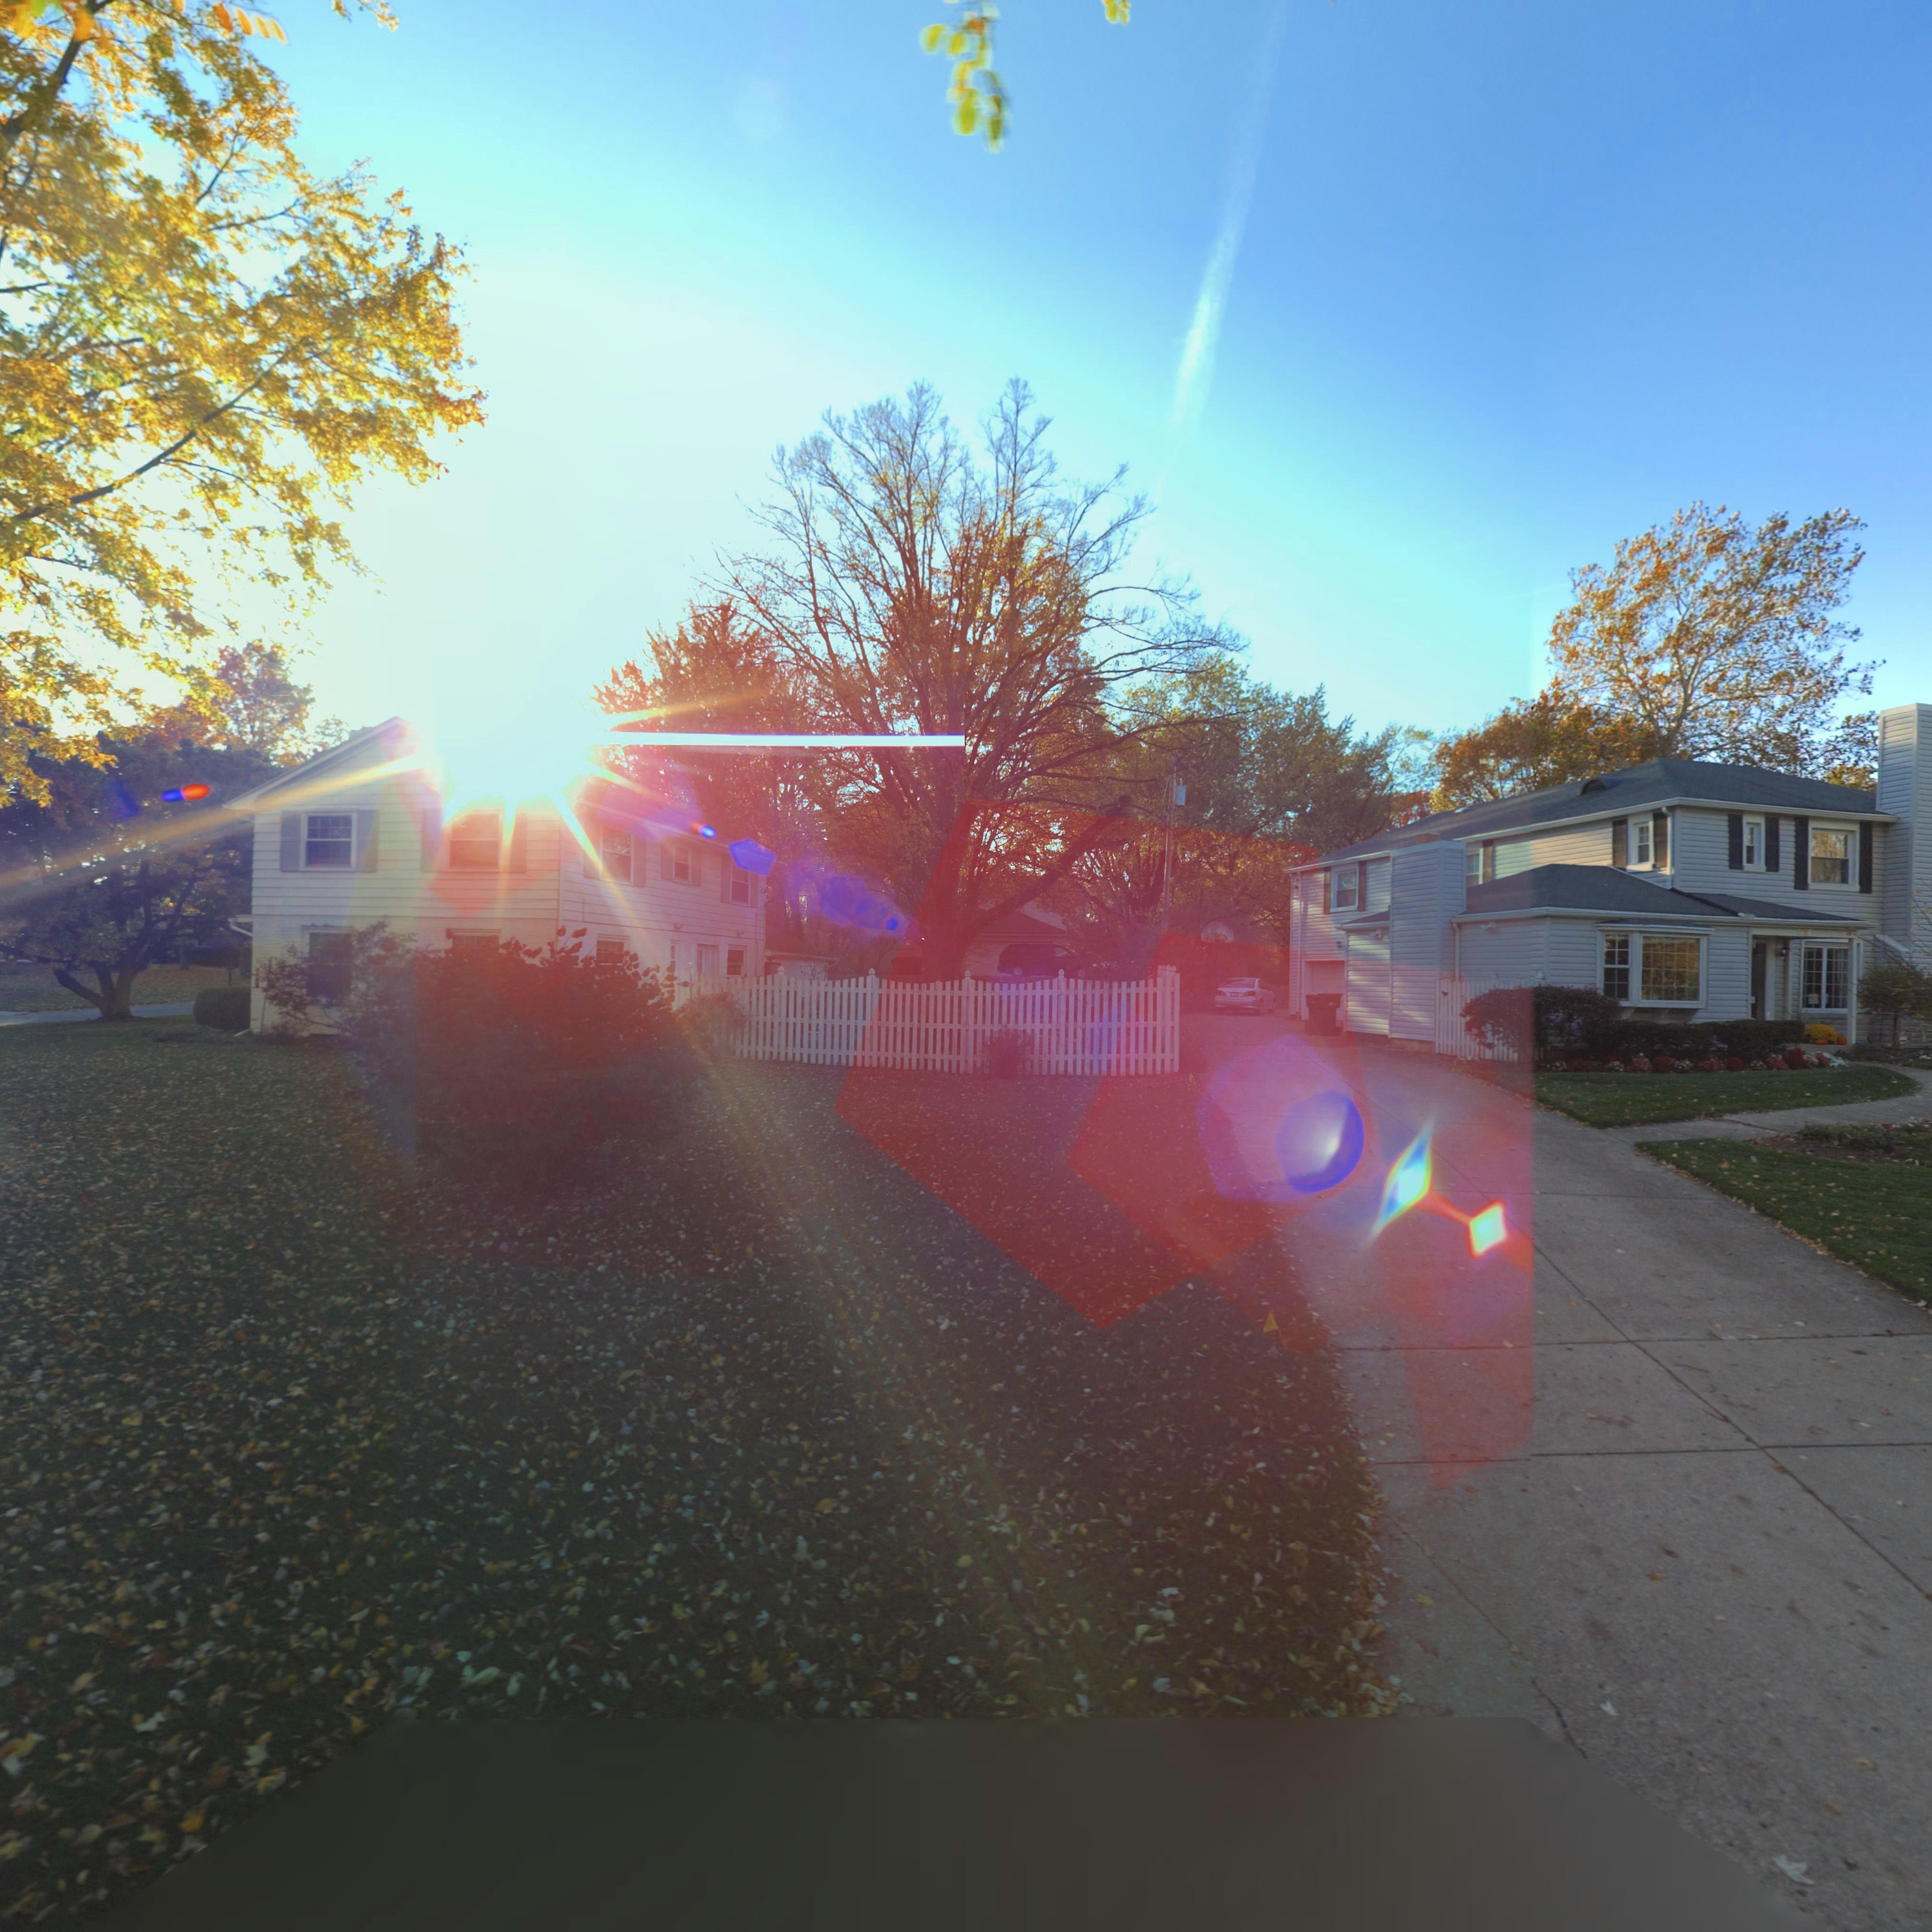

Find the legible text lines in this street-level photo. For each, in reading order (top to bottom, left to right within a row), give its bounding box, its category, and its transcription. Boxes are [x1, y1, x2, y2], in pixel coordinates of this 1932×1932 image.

[1796, 928, 1812, 937] StreetNumber: 2**5